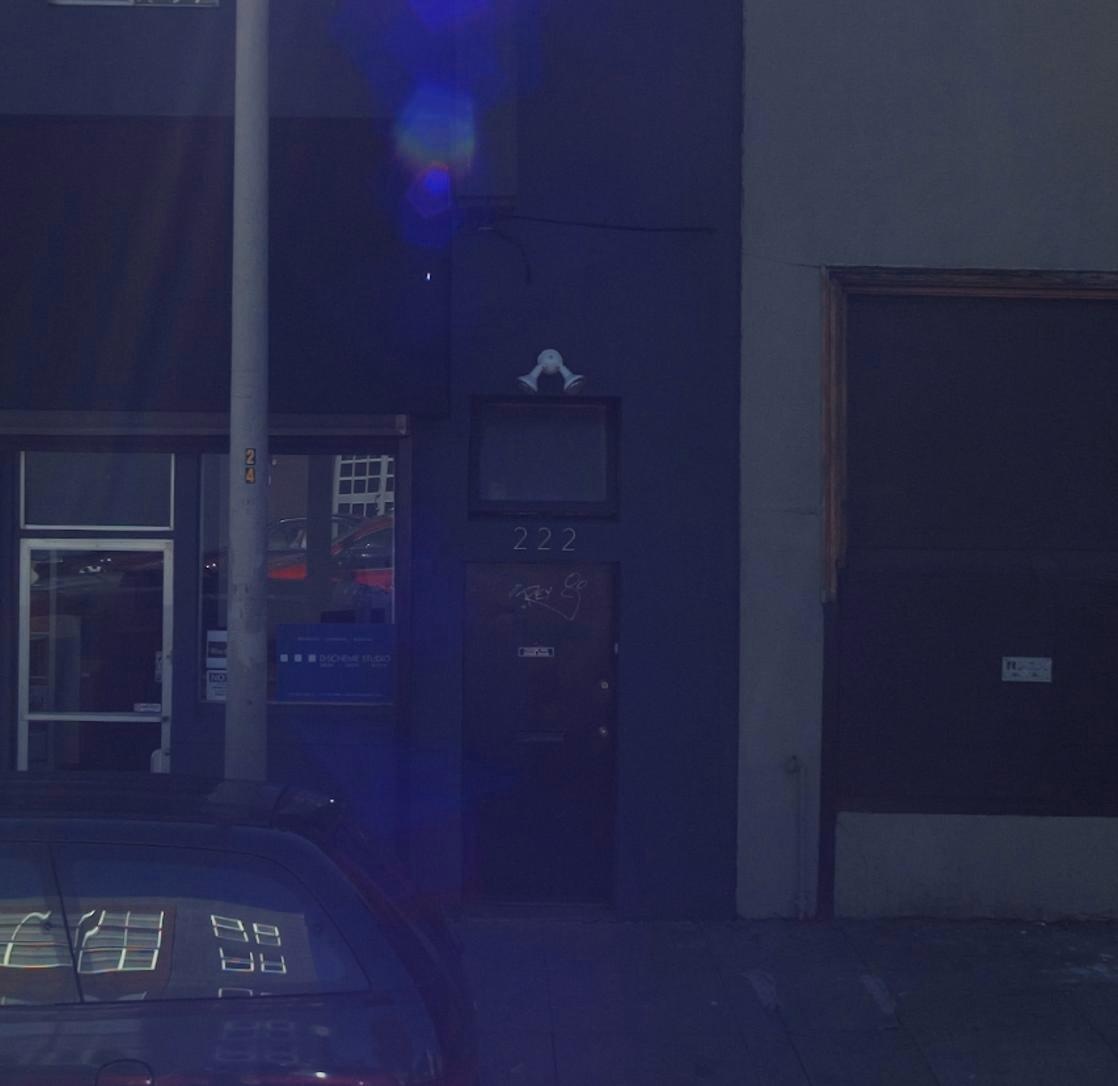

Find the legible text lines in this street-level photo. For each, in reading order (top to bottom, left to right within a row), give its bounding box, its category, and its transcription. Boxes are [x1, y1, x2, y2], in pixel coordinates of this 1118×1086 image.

[245, 447, 256, 485] None: 24
[512, 526, 577, 552] StreetNumber: 222
[360, 653, 392, 663] None: STUDIO
[210, 673, 226, 682] None: NO